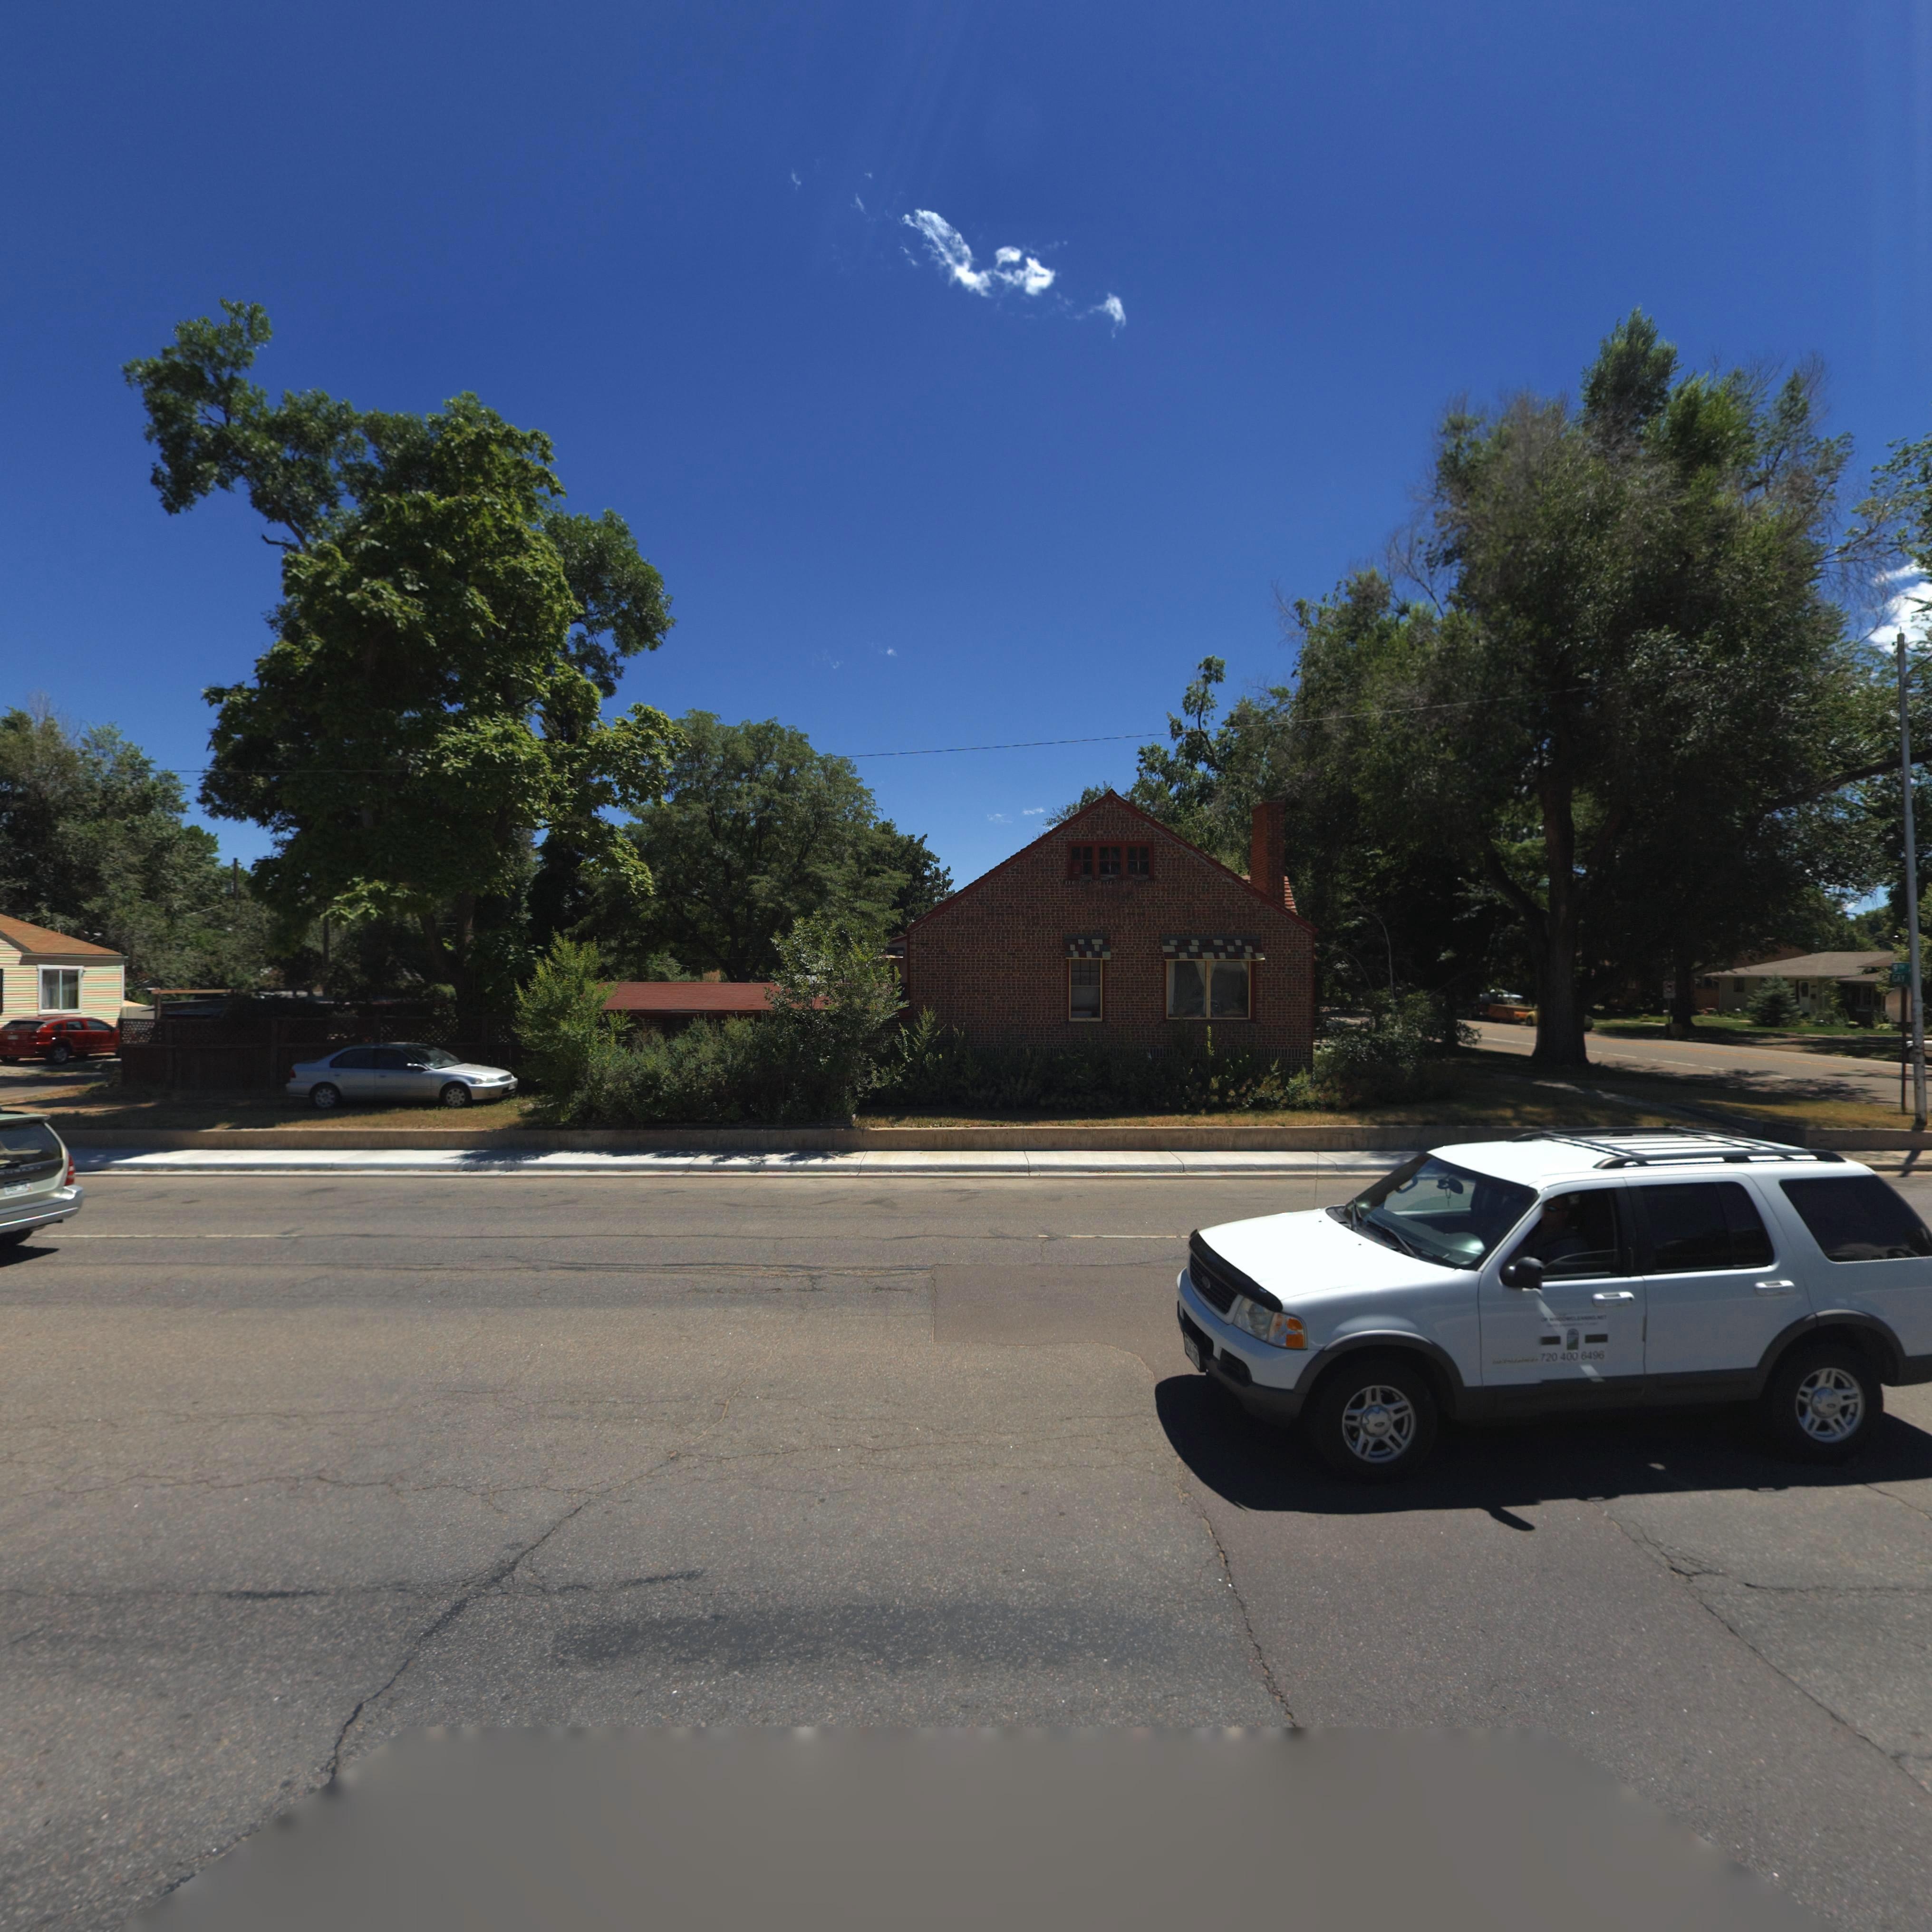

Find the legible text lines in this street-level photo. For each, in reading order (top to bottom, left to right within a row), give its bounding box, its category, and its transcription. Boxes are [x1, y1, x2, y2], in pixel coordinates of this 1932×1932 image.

[1893, 964, 1898, 972] StreetName: 9
[1892, 974, 1906, 982] StreetName: GAY 